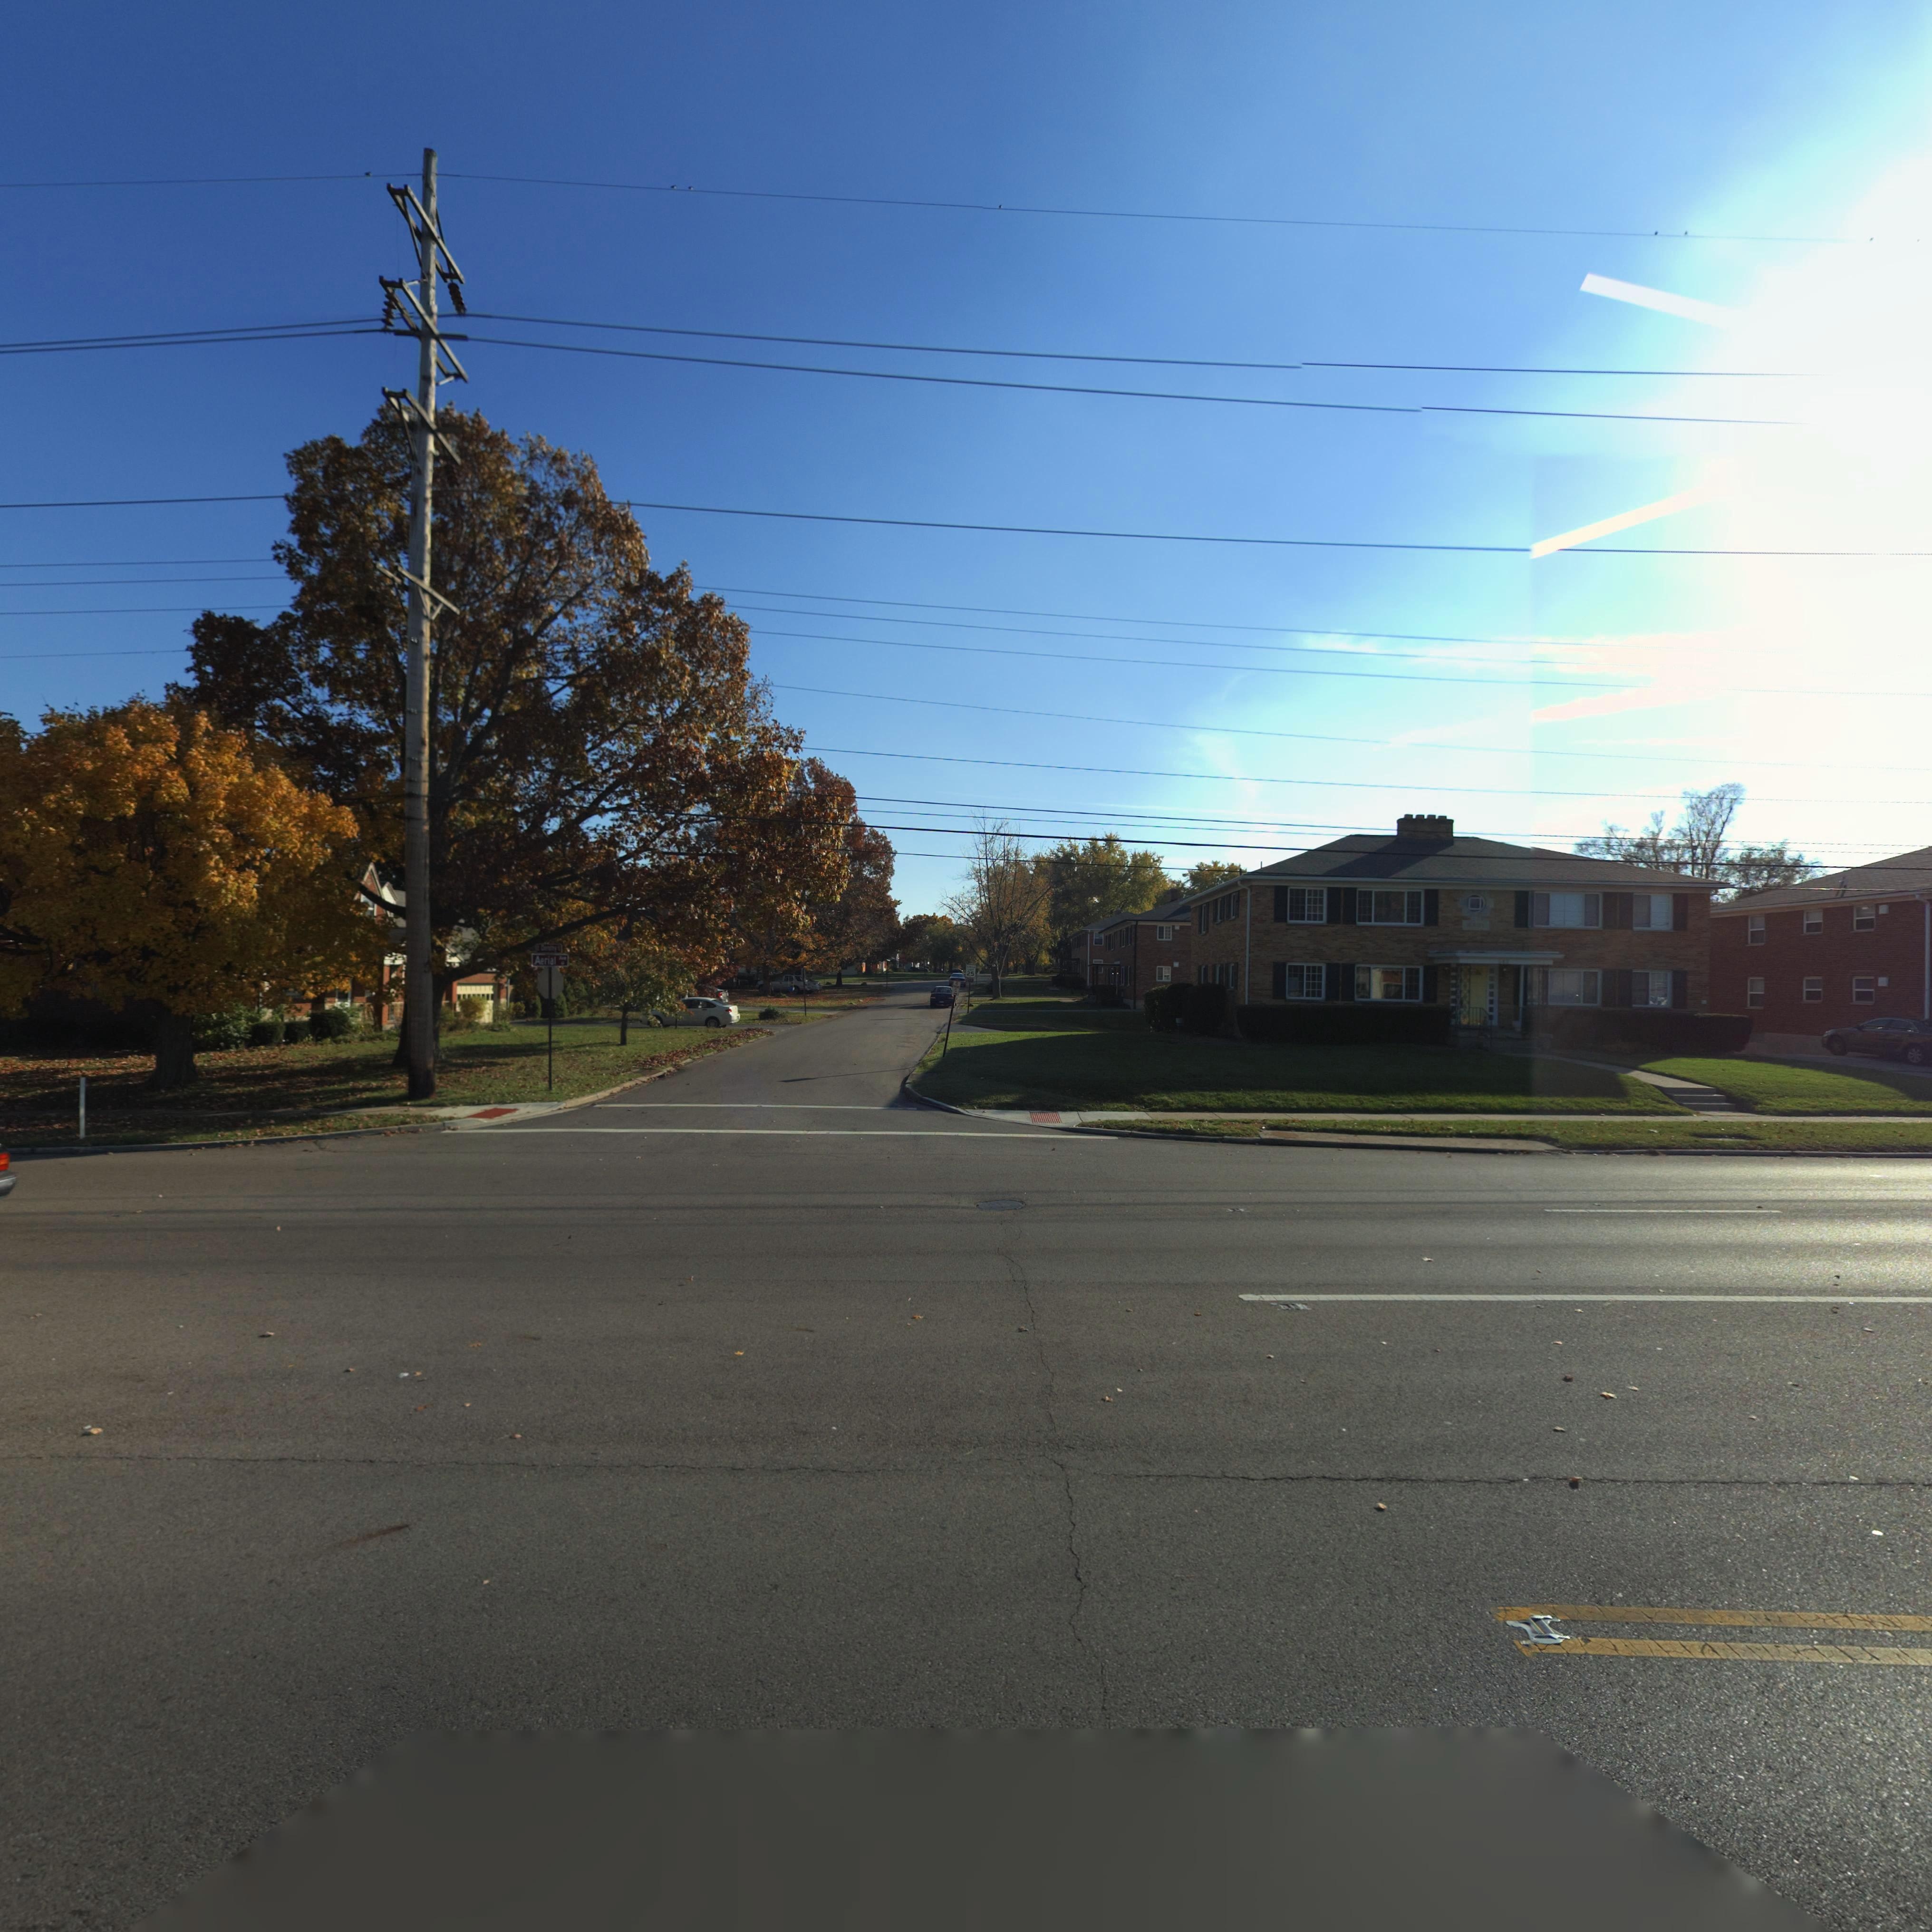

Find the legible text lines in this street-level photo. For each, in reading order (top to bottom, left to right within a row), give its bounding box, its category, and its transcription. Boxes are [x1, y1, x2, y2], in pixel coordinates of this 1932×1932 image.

[533, 955, 557, 966] StreetName: Aerial
[1497, 958, 1510, 965] StreetNumber: 542